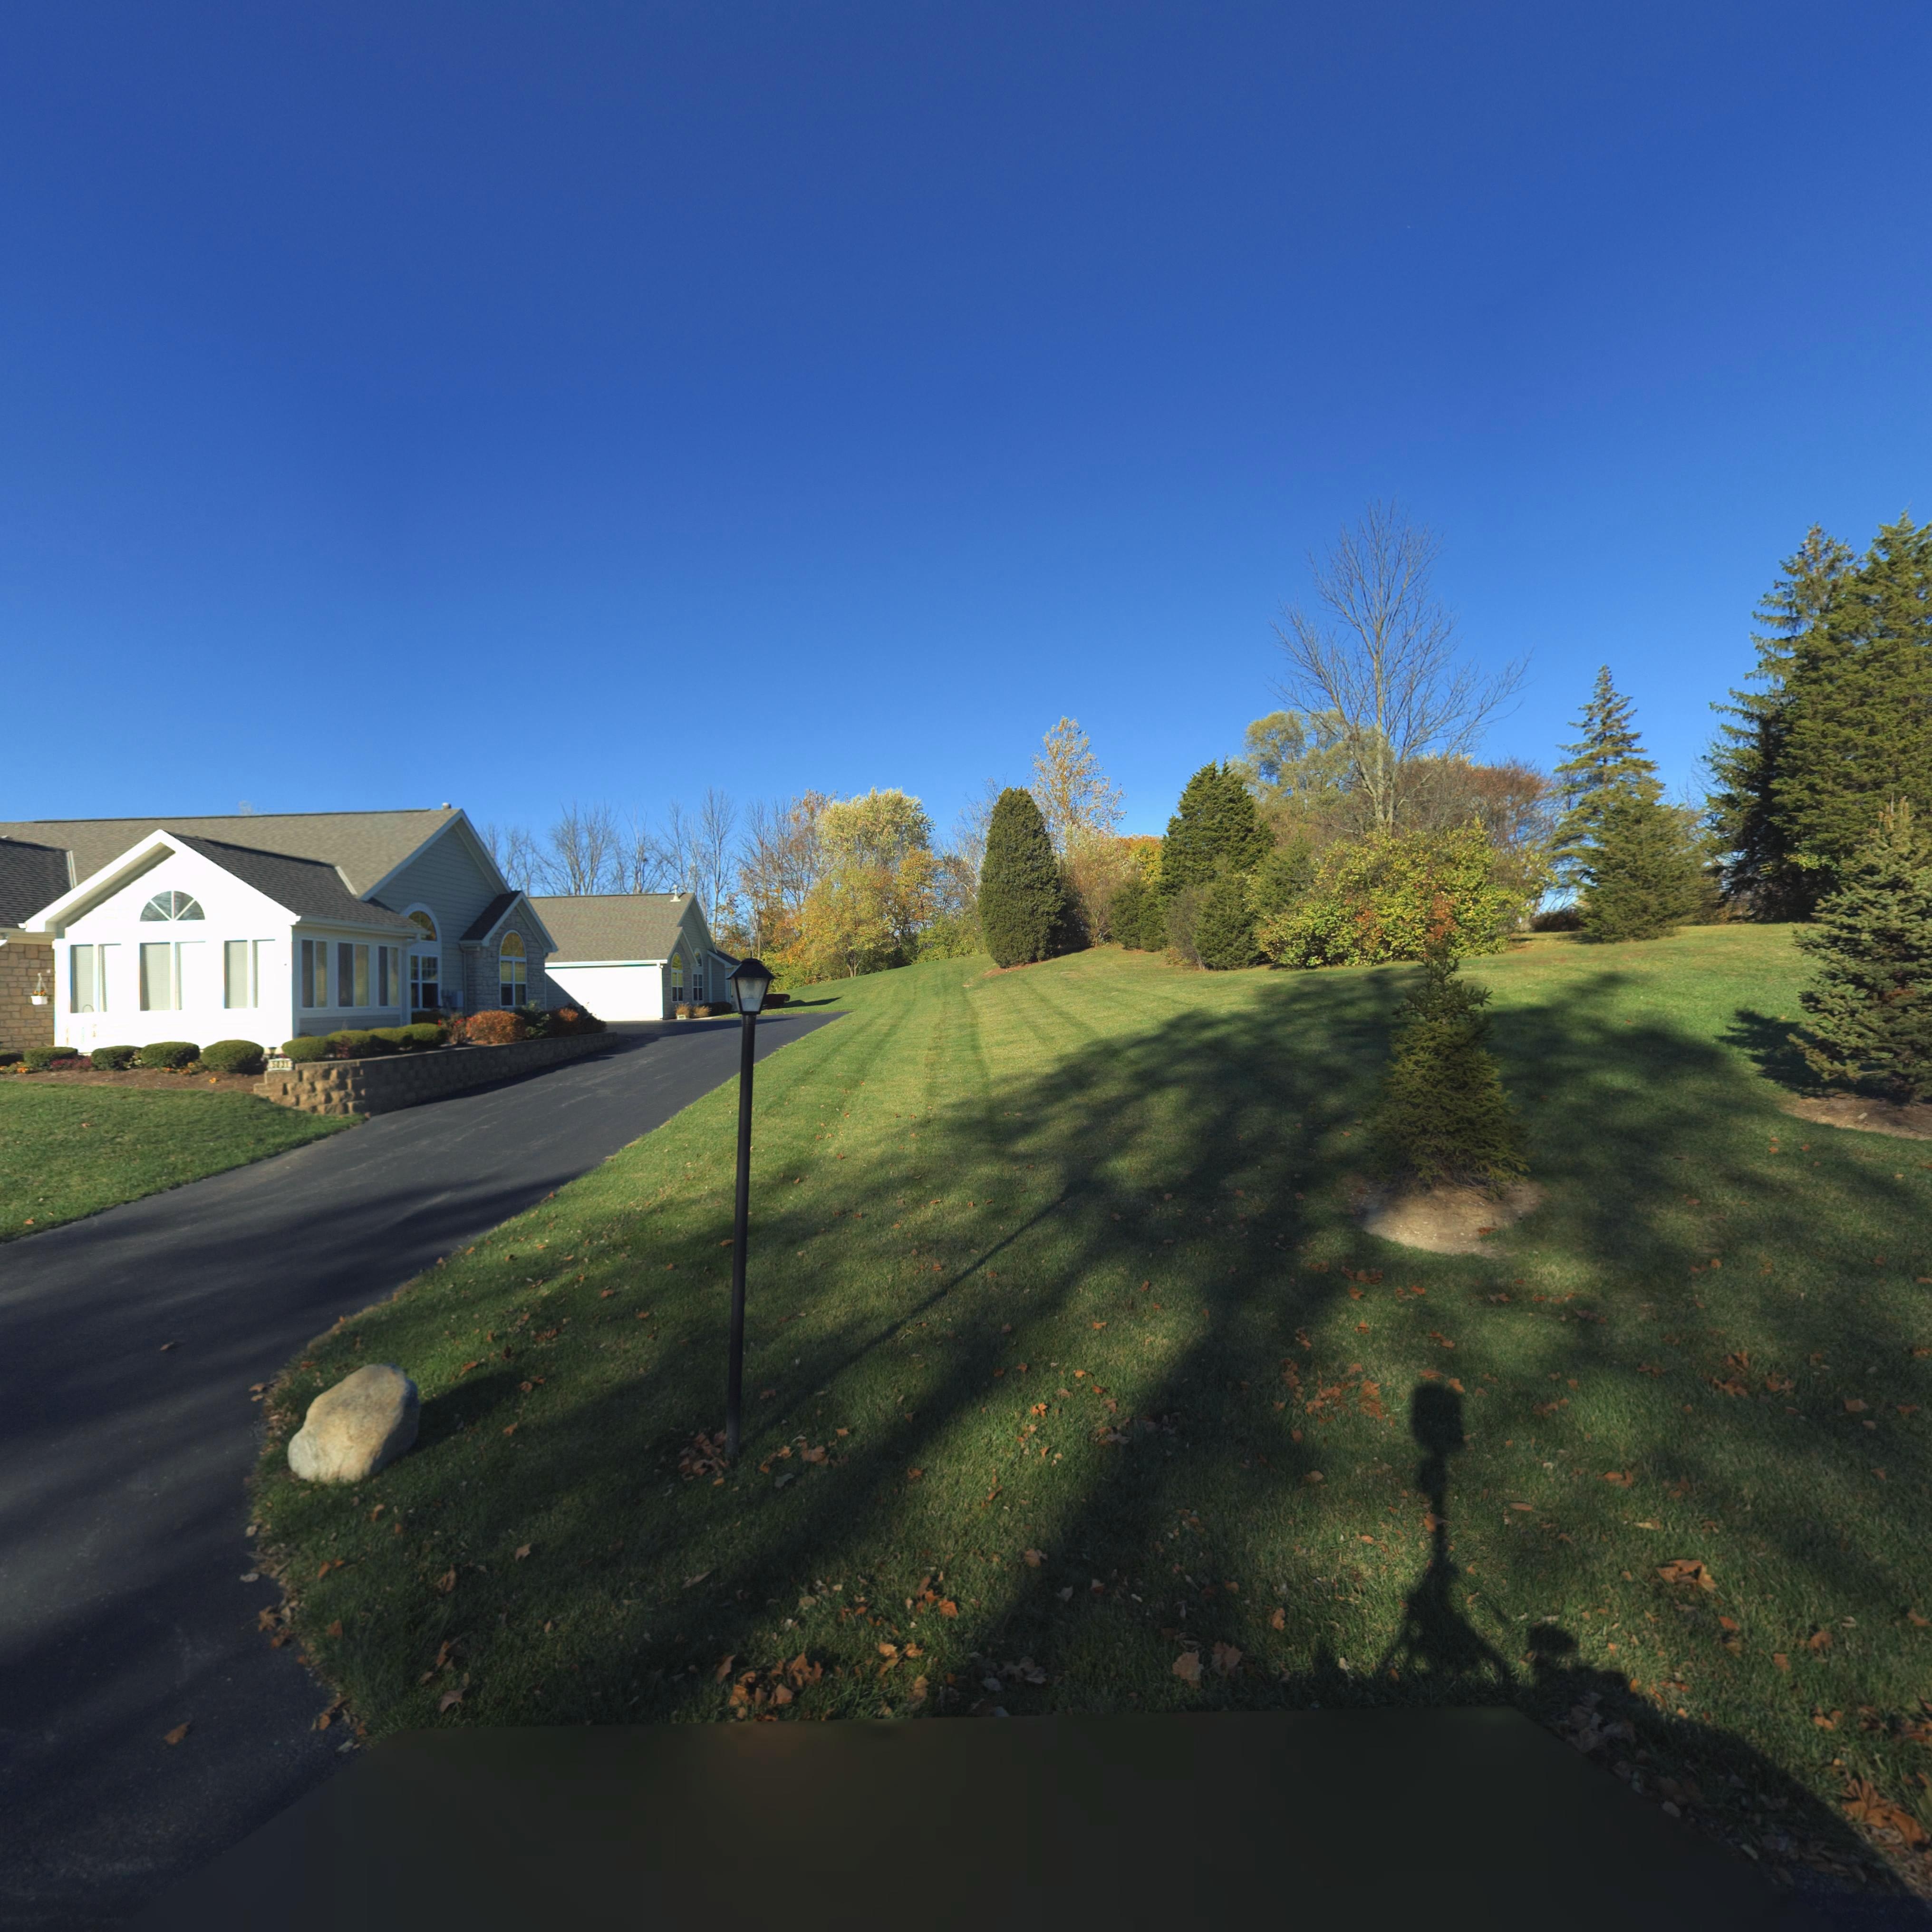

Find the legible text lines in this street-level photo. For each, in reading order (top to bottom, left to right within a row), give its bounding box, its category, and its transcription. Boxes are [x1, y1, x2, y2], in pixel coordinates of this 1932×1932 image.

[271, 1060, 289, 1069] StreetNumber: 5*31